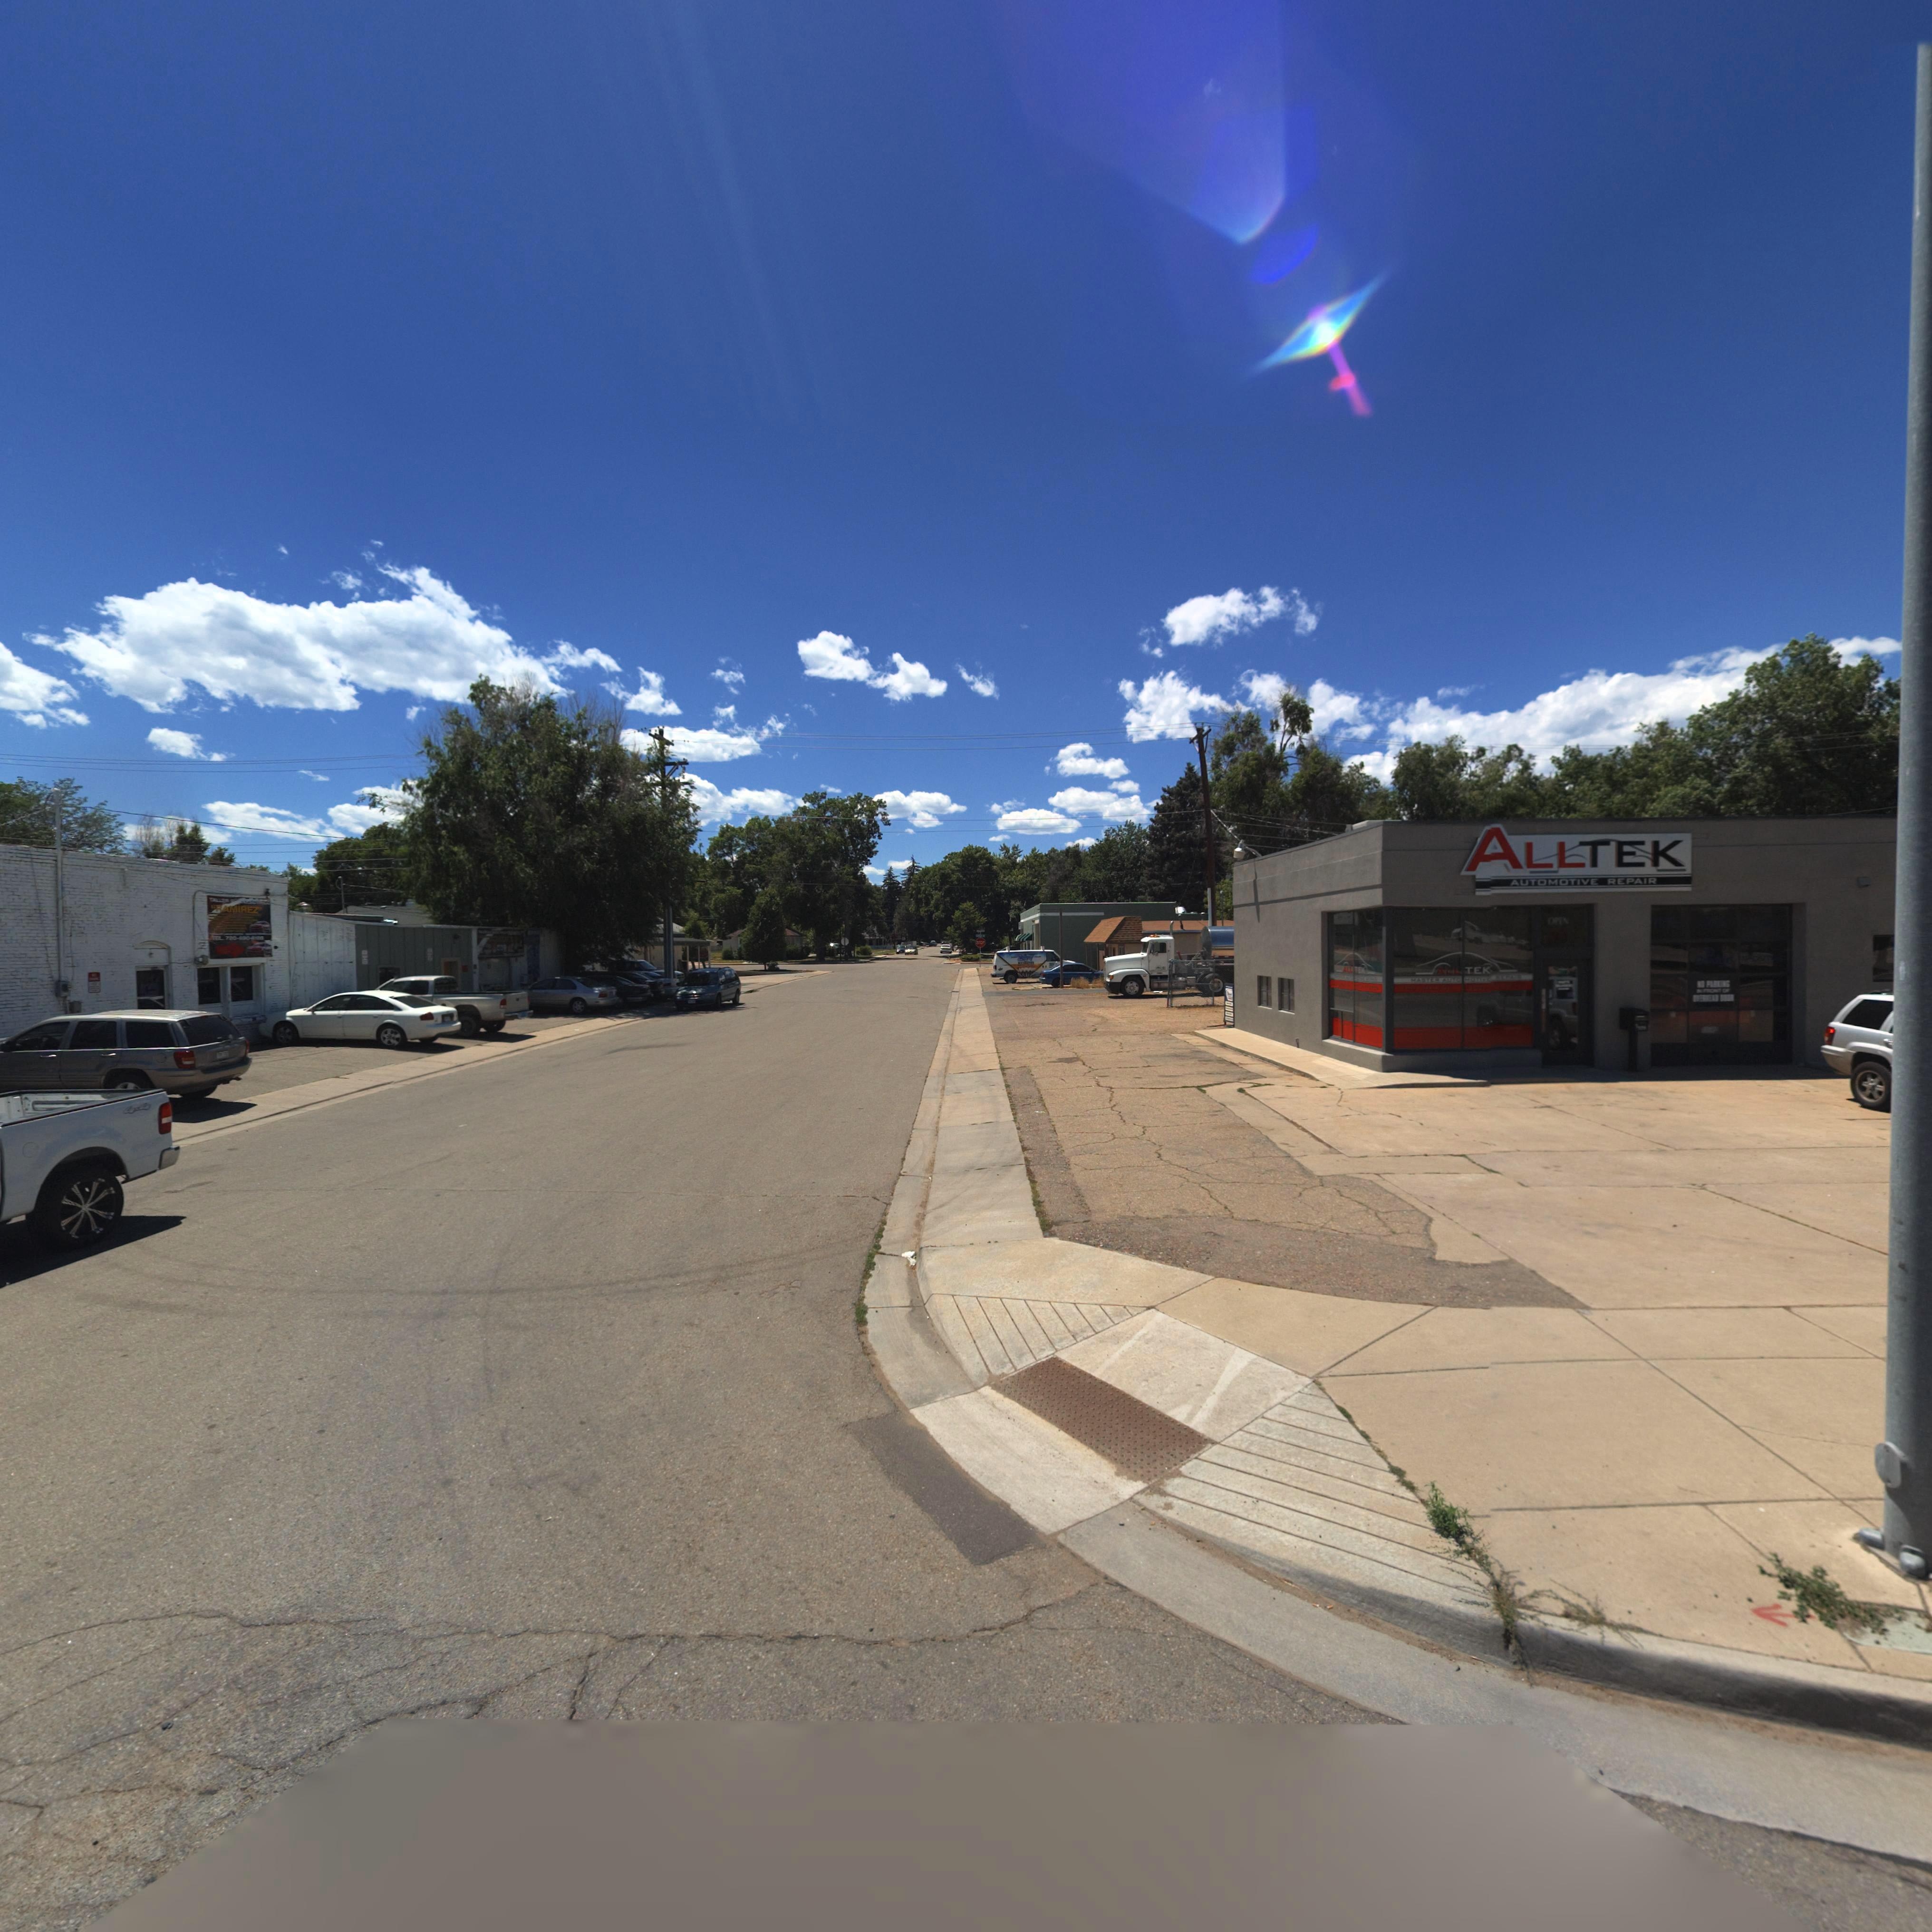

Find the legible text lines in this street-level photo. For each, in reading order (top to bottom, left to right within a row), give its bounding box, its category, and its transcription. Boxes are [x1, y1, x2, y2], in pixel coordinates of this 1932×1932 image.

[1458, 823, 1686, 875] BusinessName: ALLTEK
[1509, 877, 1657, 886] BusinessName: AUTOMOTIVE REPAIR
[1343, 966, 1365, 974] BusinessName: ALL TEK
[1437, 966, 1491, 975] BusinessName: ALL TEK